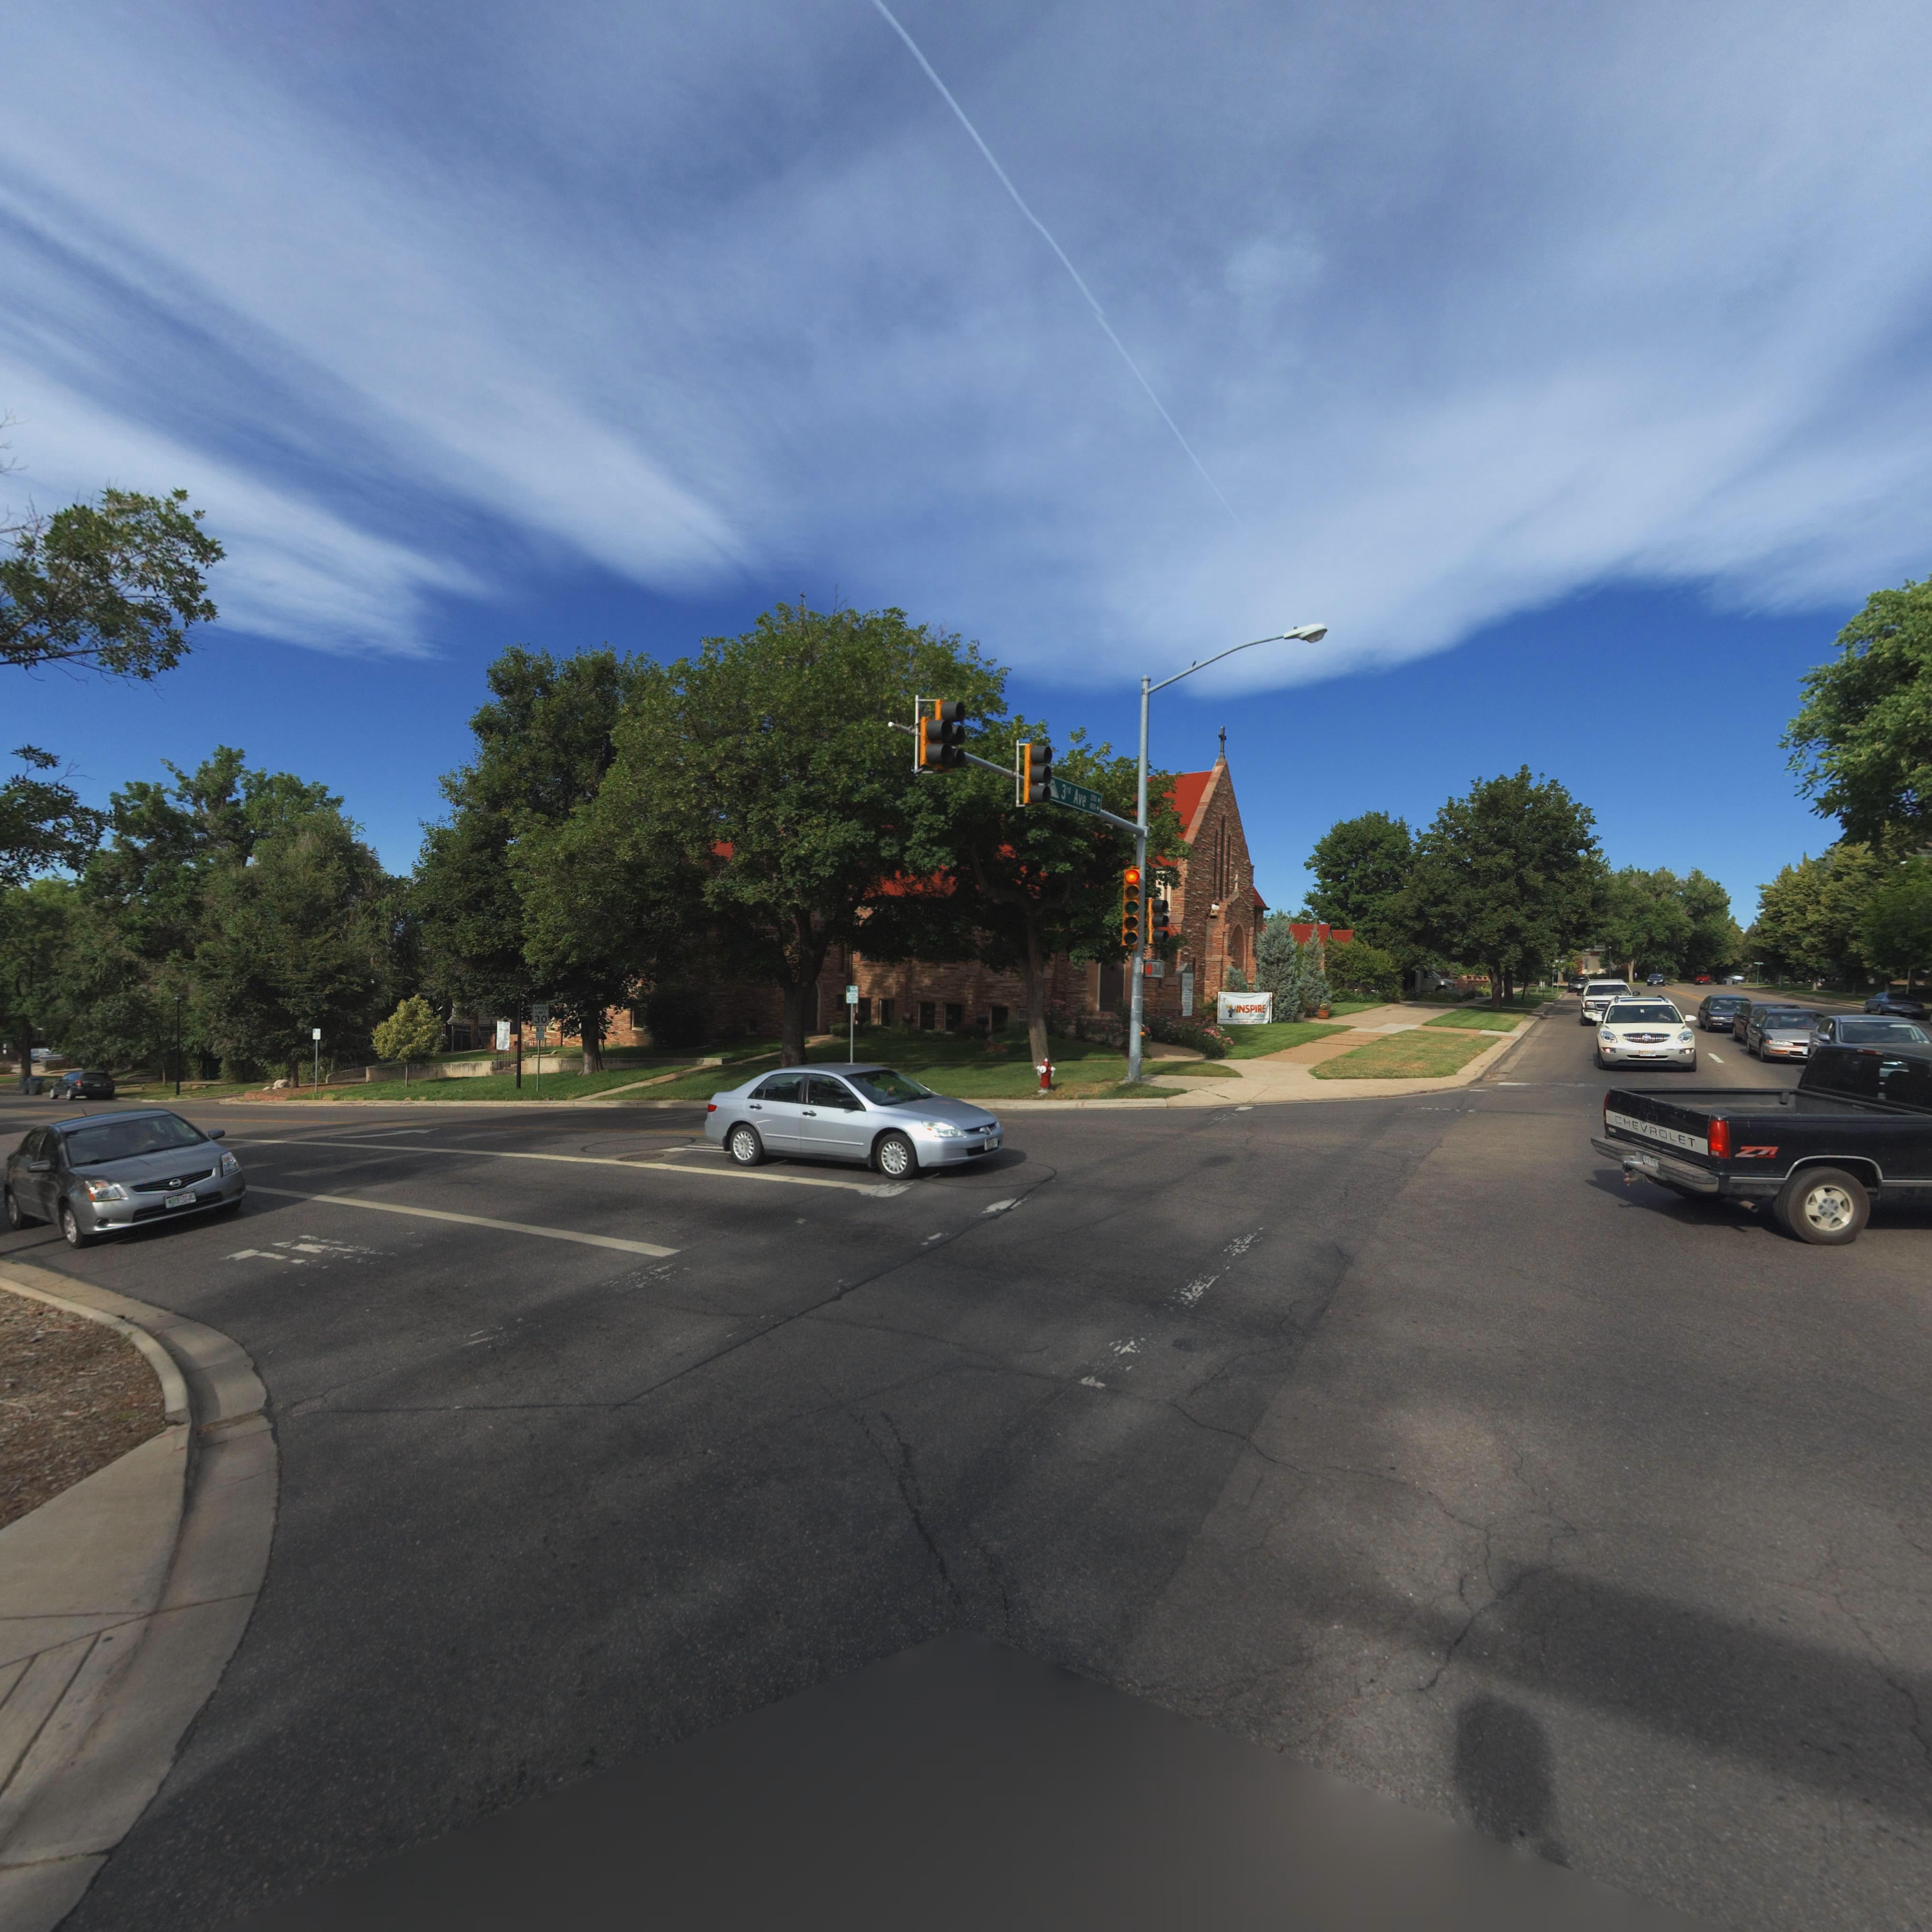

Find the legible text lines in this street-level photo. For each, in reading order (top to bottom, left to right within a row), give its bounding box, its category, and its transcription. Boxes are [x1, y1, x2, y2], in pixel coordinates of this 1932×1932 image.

[1060, 782, 1087, 808] StreetName: 3rd Ave
[1090, 793, 1098, 802] StreetNumberRange: 200
[1089, 802, 1101, 811] StreetNumberRange: *00->
[1235, 1004, 1266, 1013] BusinessName: INSPIRE
[1248, 1013, 1265, 1018] BusinessName: Pr**cho*l